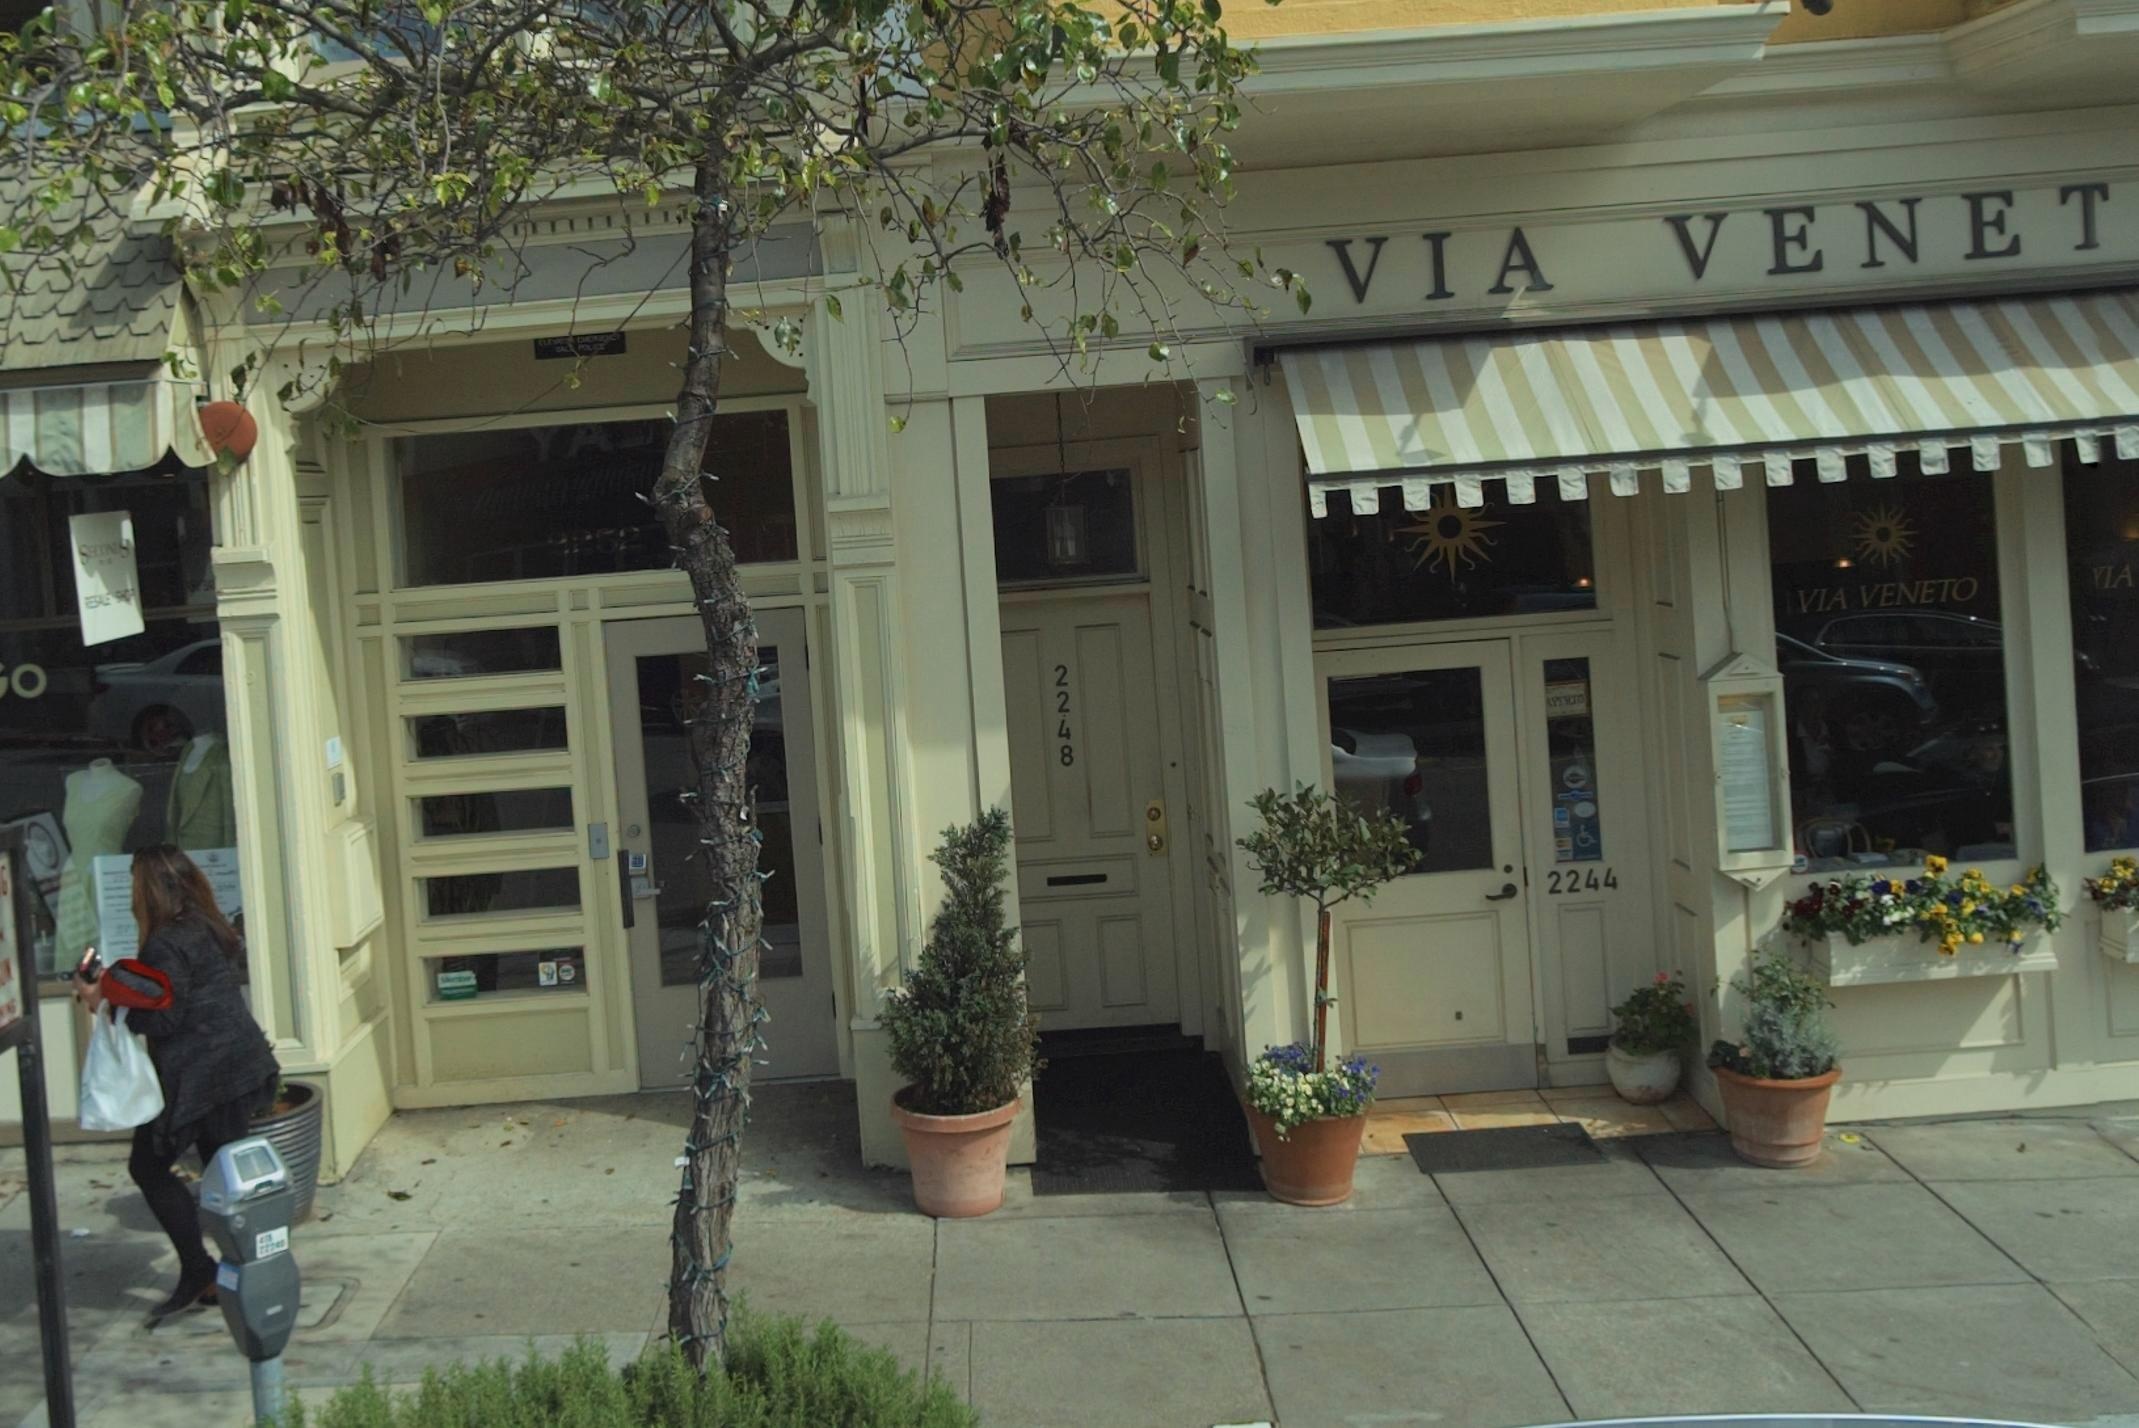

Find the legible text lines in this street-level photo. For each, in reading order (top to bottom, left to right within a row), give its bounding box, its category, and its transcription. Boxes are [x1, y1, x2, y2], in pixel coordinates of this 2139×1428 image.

[1307, 176, 2118, 313] BusinessName: VIA VENET
[516, 422, 566, 465] None: Y
[75, 535, 134, 570] BusinessName: S****S
[539, 520, 646, 560] StreetNumber: 2252
[1792, 573, 1981, 617] BusinessName: VIA VENETO
[2086, 561, 2136, 592] BusinessName: *IA
[8, 658, 52, 703] None: O
[1050, 662, 1078, 770] StreetNumber: 2248
[1544, 863, 1621, 898] StreetNumber: 2244